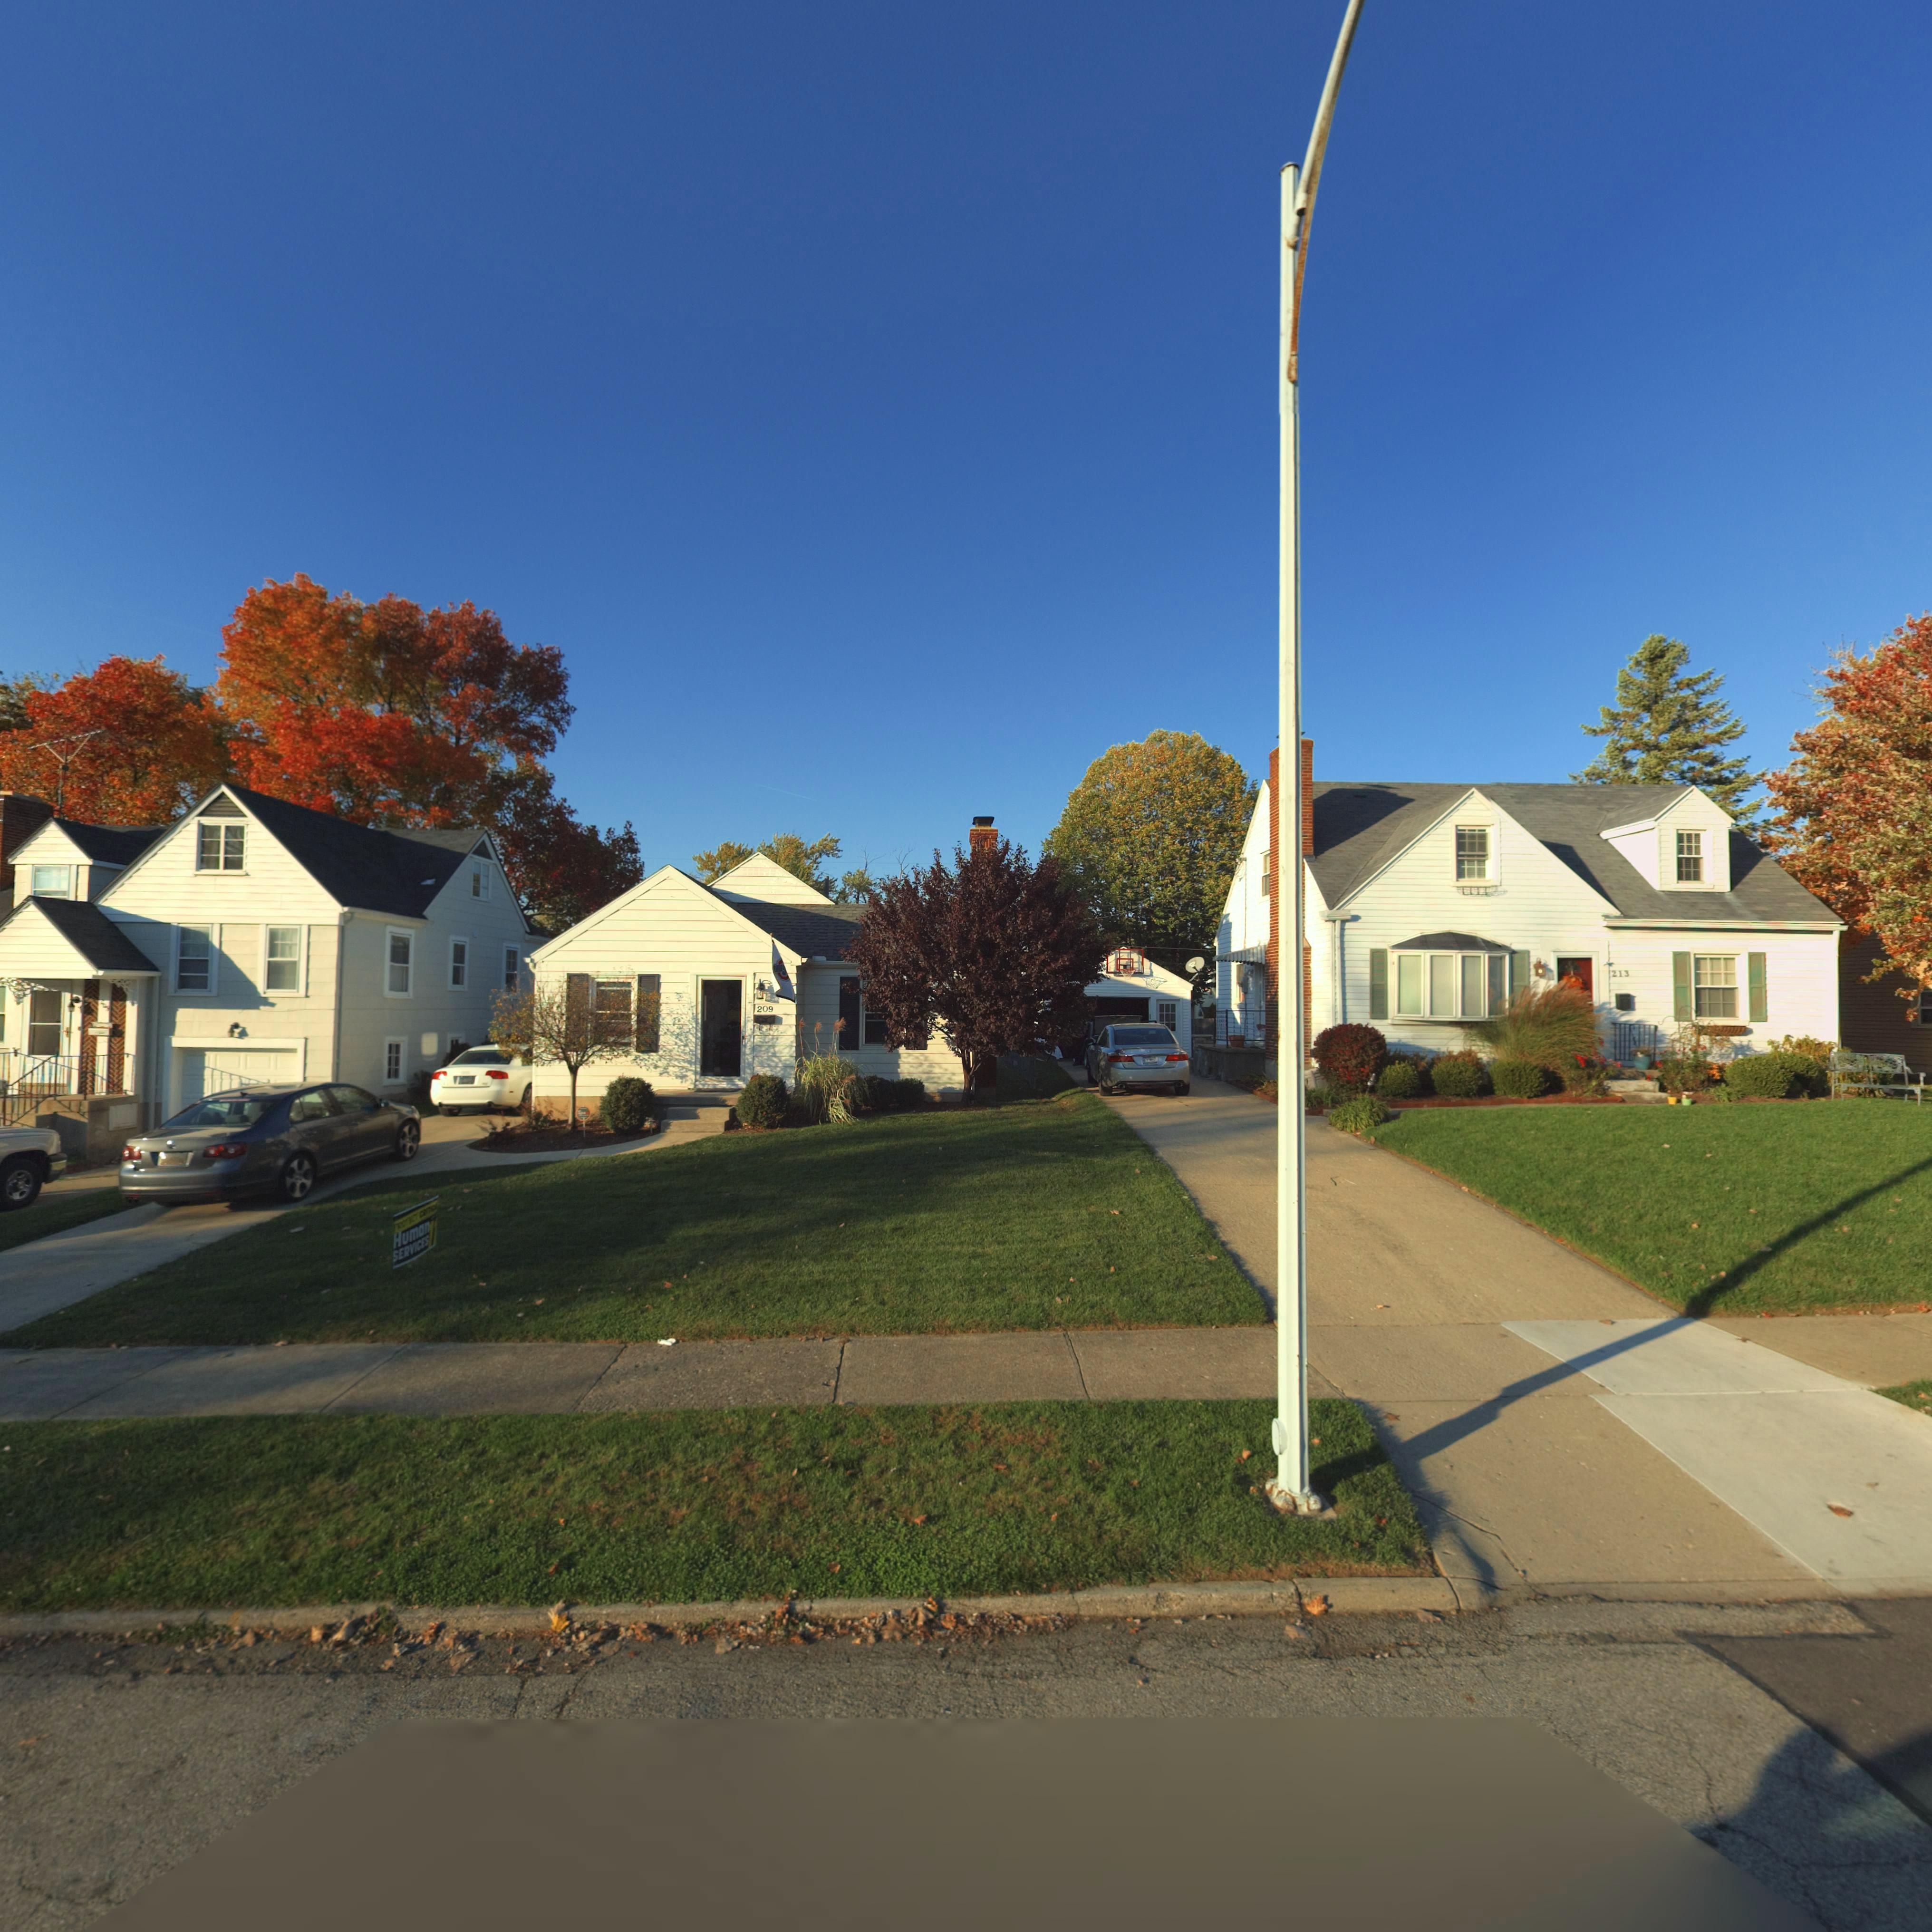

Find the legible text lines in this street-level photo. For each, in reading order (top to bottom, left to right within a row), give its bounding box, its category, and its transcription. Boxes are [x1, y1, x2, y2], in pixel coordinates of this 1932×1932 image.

[1611, 970, 1630, 977] StreetNumber: 213
[99, 999, 111, 1012] StreetNumber: 20*
[757, 1005, 773, 1013] StreetNumber: 209